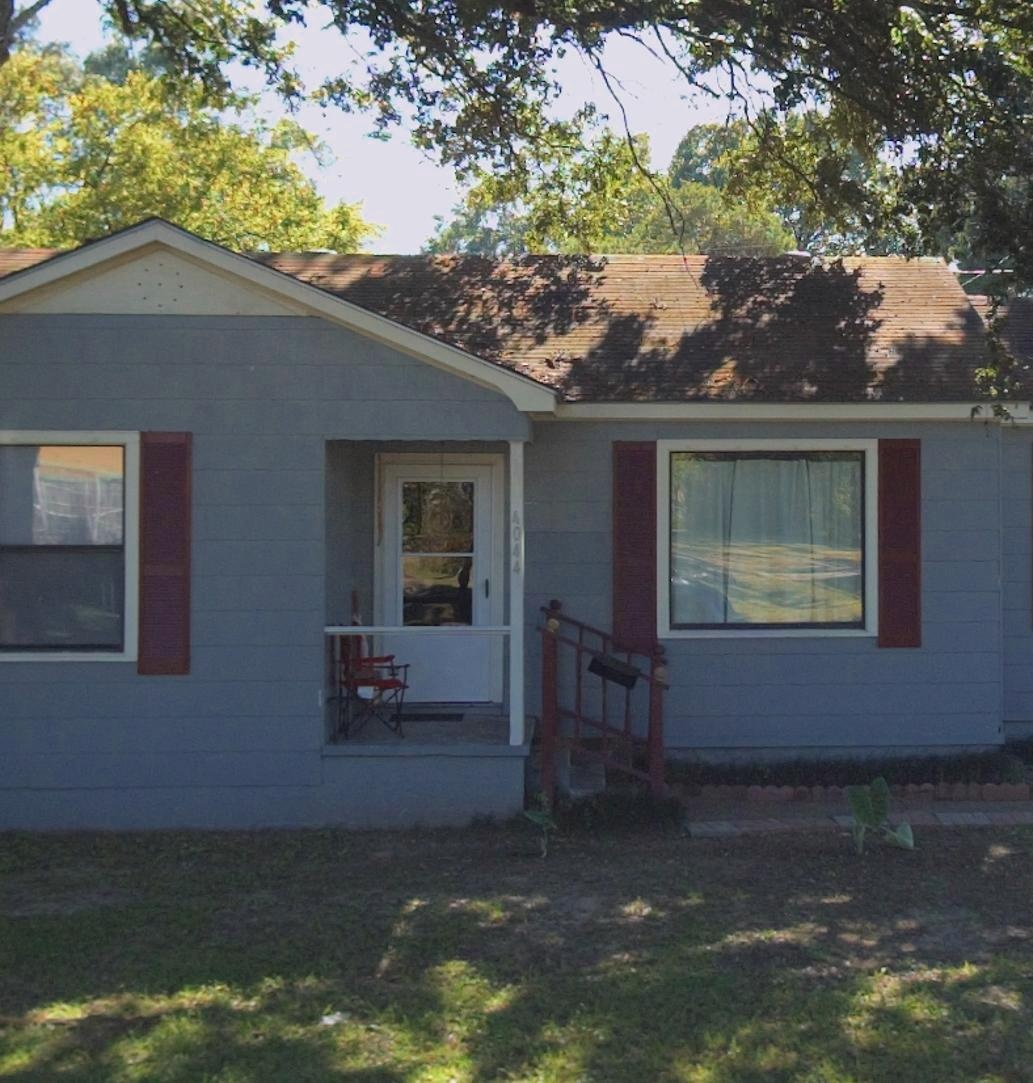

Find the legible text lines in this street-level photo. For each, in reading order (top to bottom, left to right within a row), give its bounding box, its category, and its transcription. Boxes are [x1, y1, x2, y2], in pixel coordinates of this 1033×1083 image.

[510, 509, 523, 576] StreetNumber: 4044